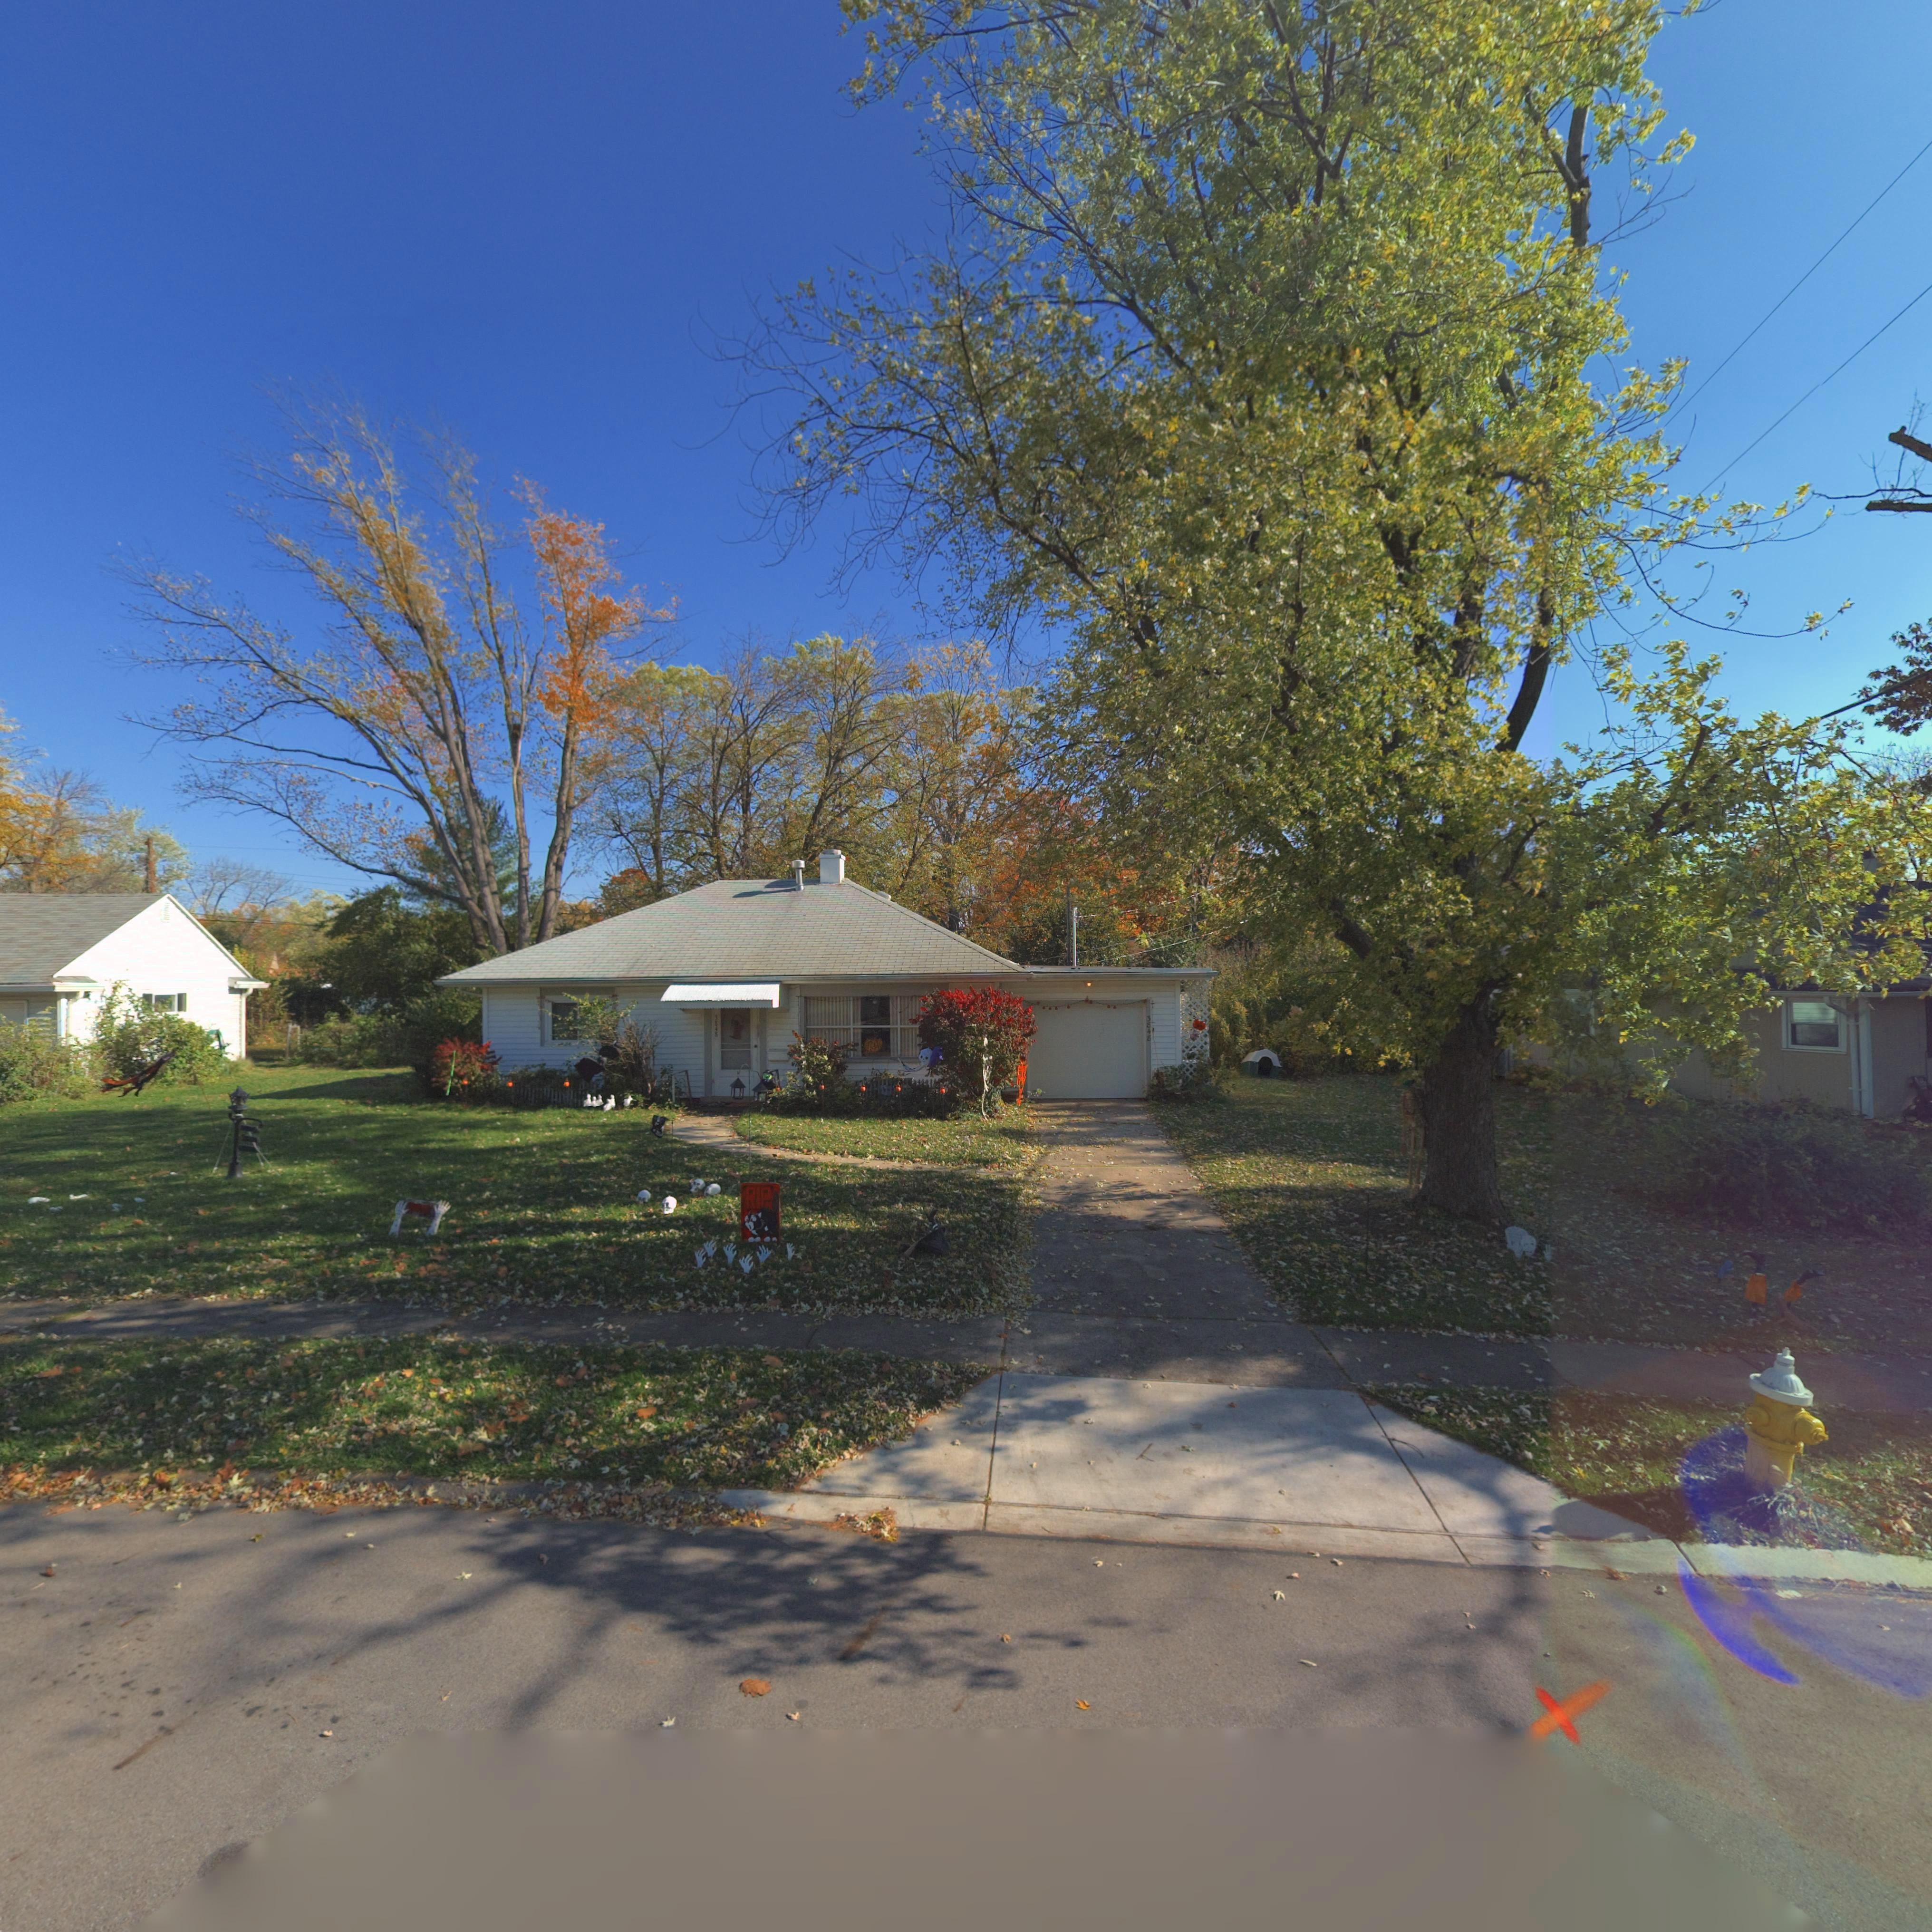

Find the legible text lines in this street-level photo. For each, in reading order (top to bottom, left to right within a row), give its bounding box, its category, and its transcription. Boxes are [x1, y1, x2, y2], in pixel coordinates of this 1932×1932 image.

[714, 1014, 718, 1037] StreetNumber: 3848
[1146, 1014, 1151, 1042] StreetNumber: 3848
[746, 1186, 772, 1208] None: RIP